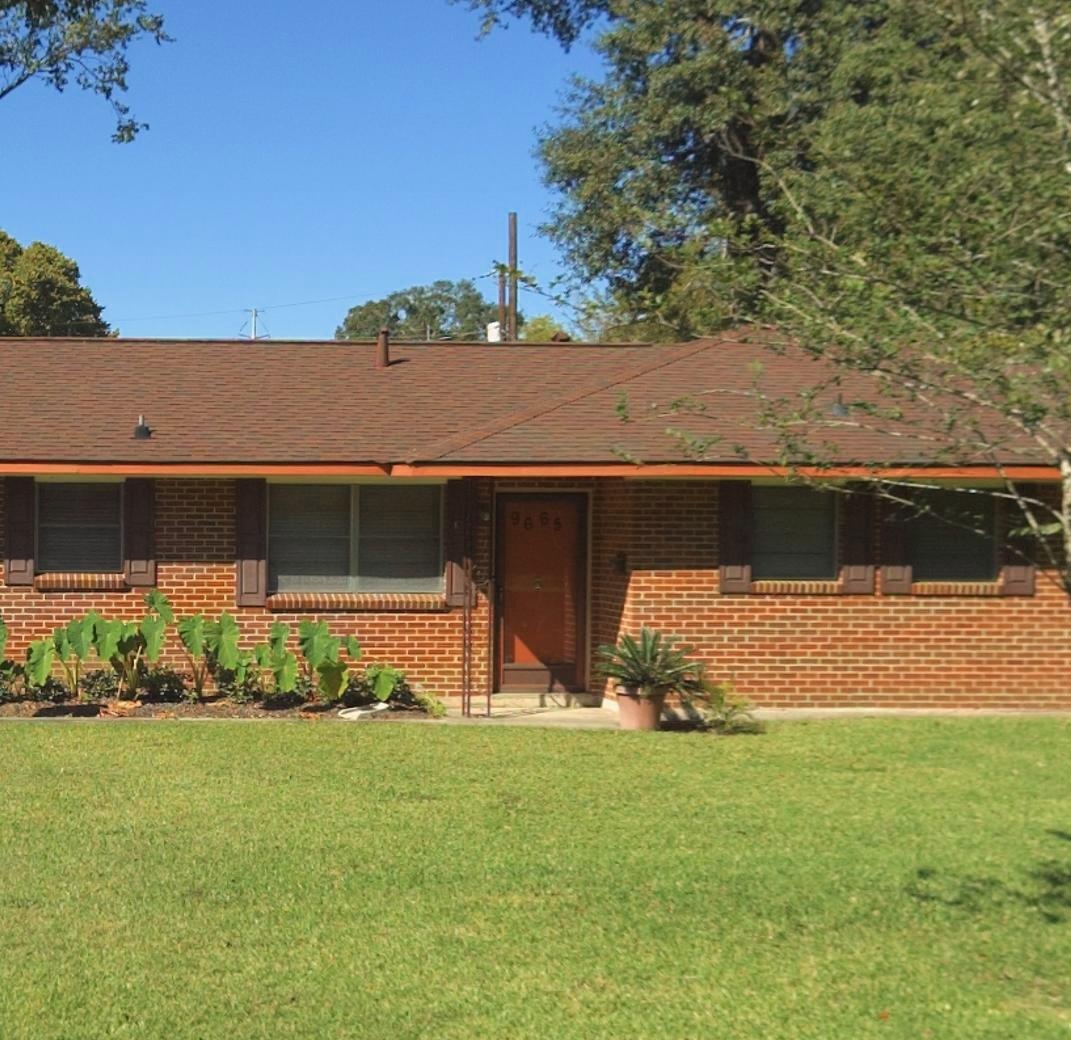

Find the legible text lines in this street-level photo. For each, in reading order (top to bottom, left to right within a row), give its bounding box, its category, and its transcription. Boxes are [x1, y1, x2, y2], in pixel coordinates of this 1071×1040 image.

[509, 509, 563, 533] StreetNumber: 9665